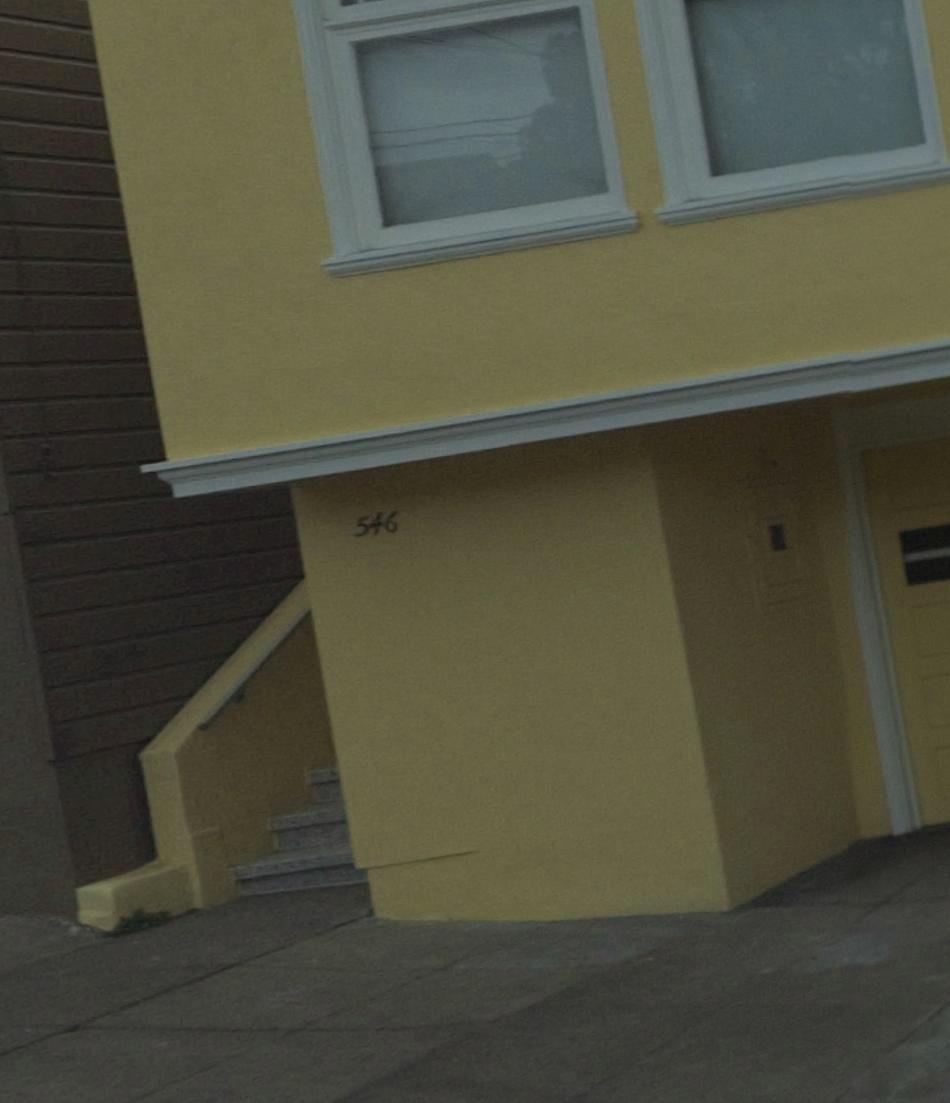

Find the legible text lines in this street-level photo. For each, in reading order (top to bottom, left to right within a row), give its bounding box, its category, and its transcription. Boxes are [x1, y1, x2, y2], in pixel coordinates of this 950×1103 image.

[352, 506, 399, 538] StreetNumber: 546